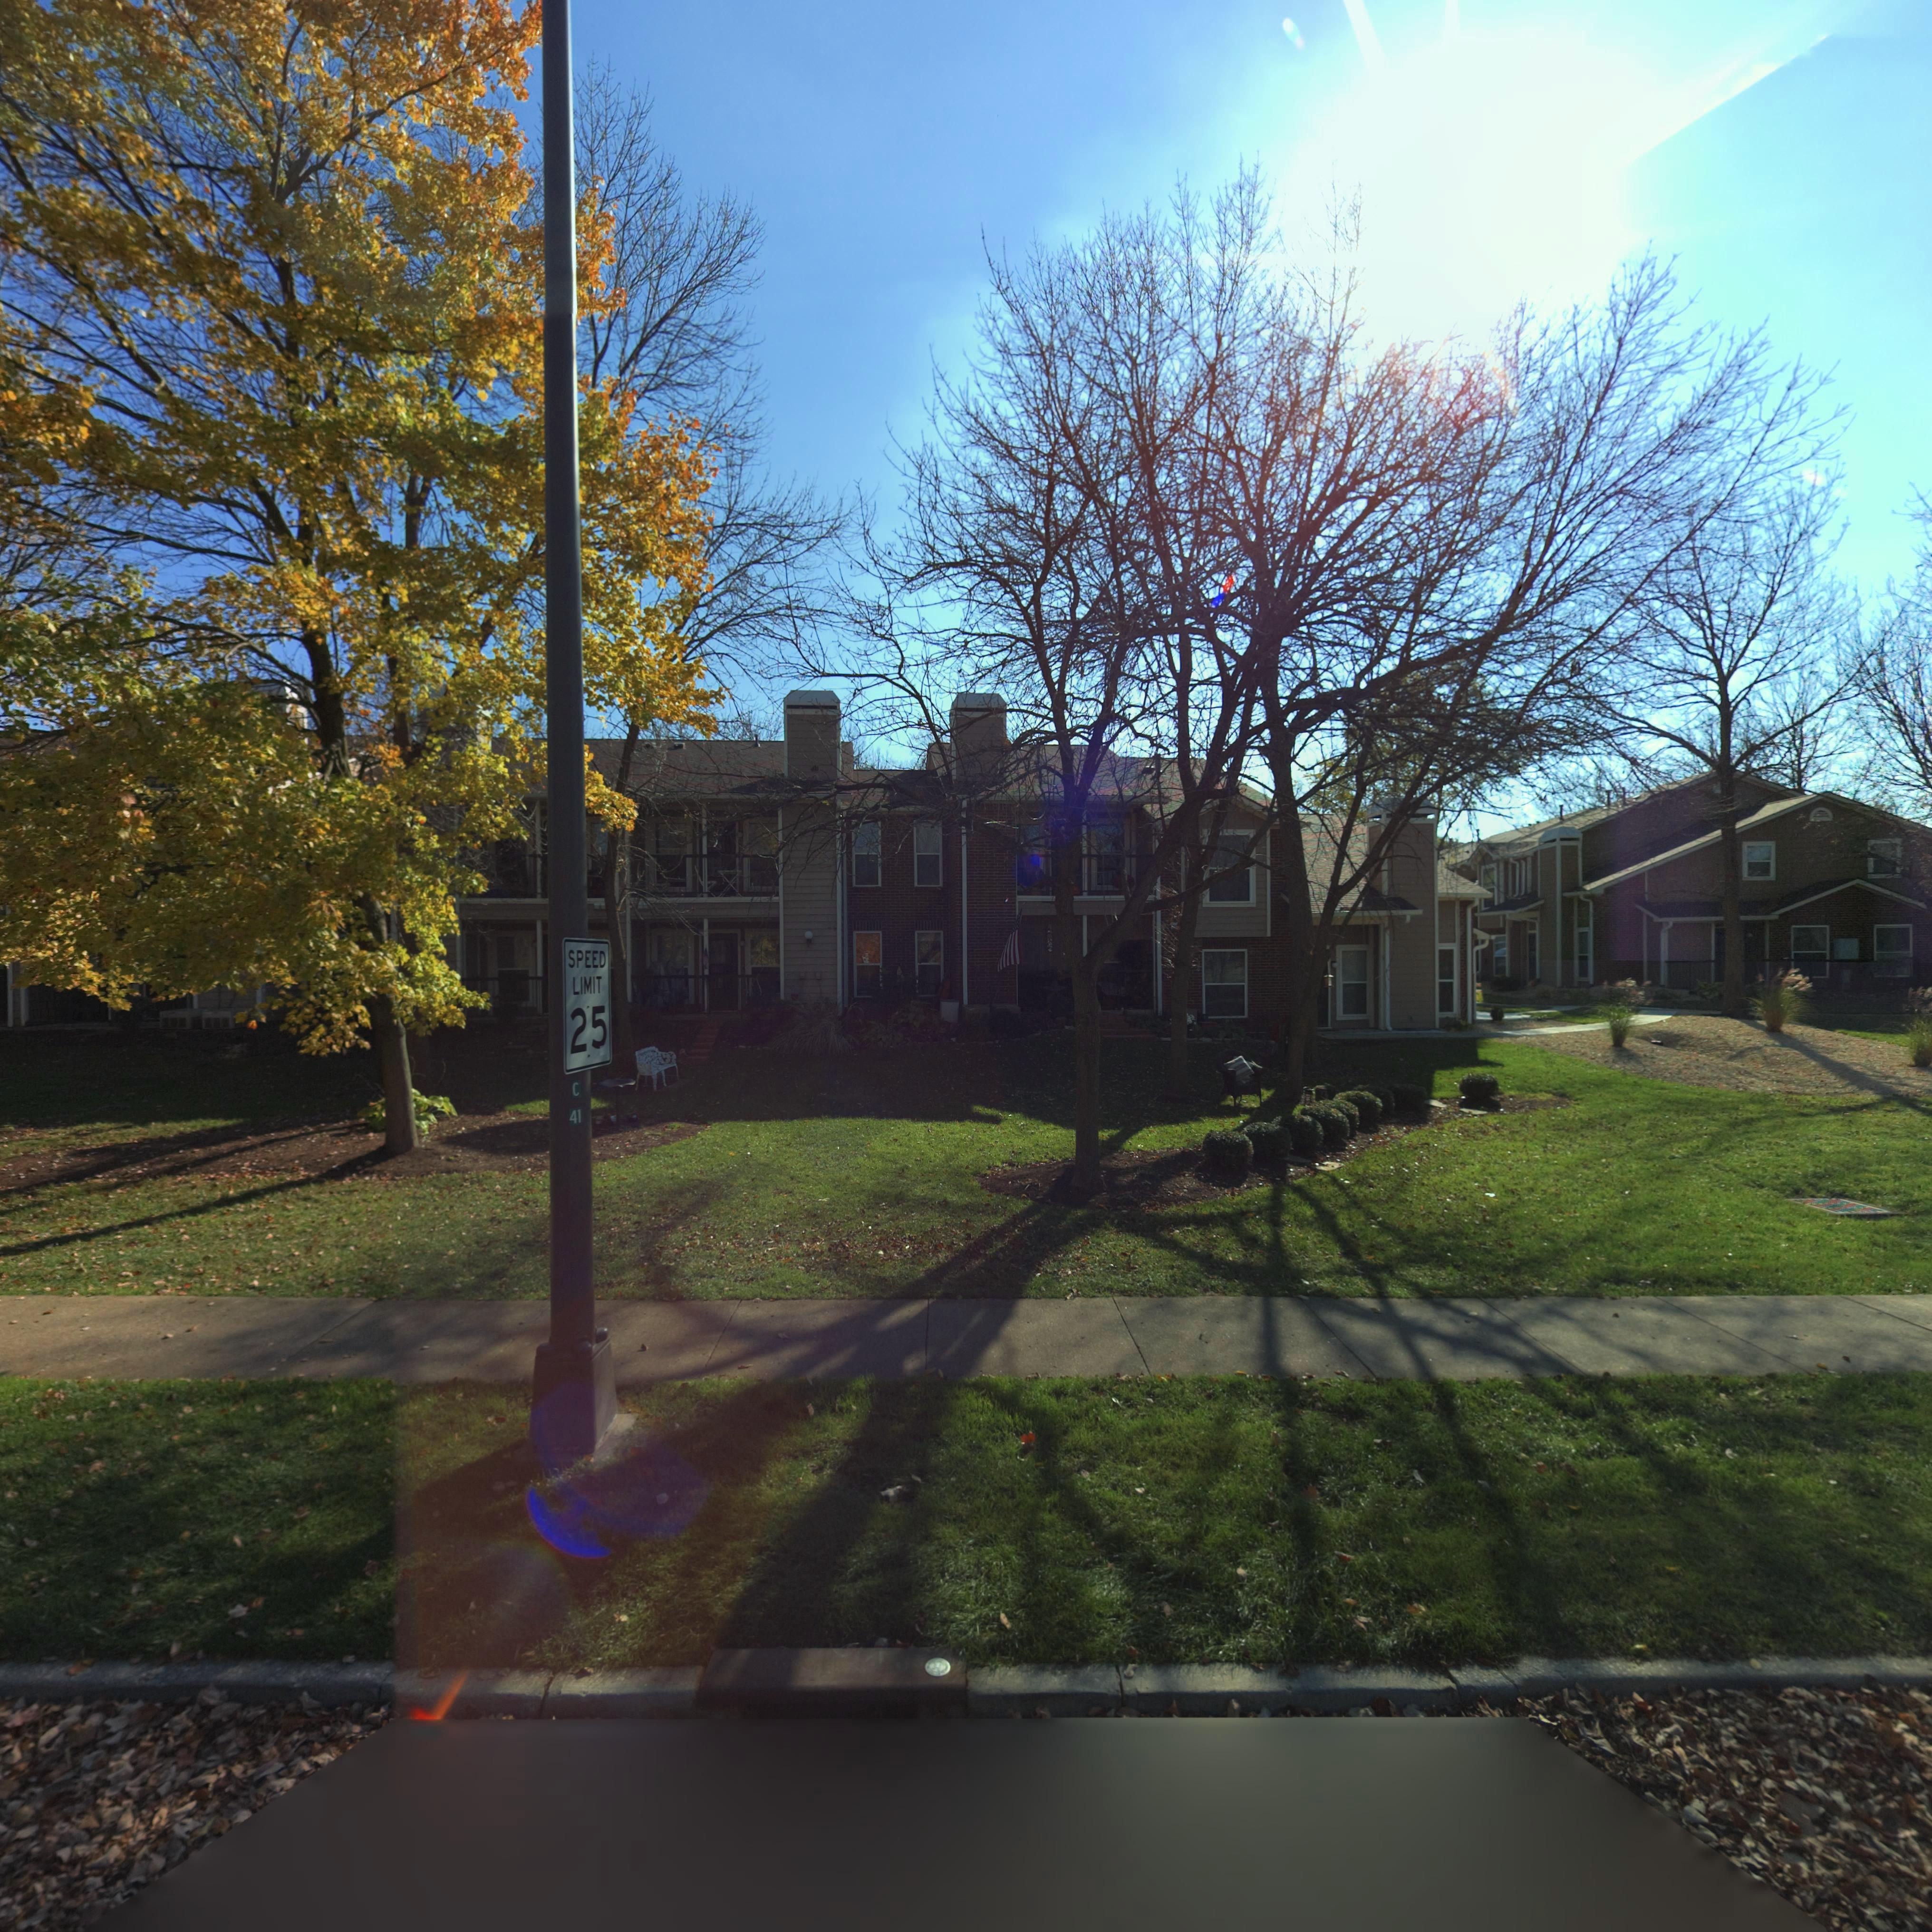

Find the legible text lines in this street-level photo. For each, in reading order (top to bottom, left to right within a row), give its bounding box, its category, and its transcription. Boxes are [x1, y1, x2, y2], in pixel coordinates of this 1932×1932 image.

[567, 949, 607, 969] None: SPEED
[572, 976, 603, 996] None: LIMIT
[570, 1004, 607, 1055] None: 25
[571, 1081, 580, 1097] None: C
[569, 1109, 582, 1124] None: 41